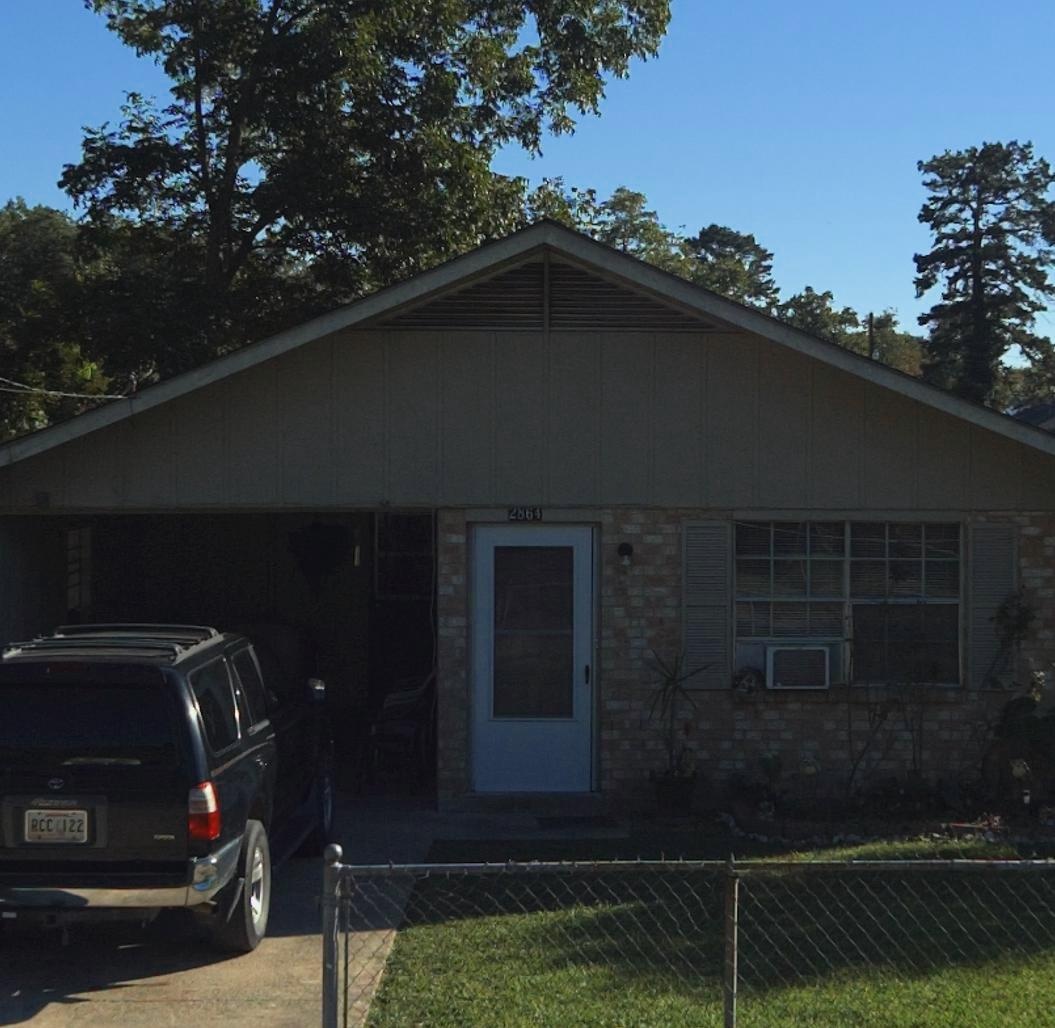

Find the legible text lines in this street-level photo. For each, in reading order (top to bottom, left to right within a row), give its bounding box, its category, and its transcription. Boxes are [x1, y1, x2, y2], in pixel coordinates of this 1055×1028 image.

[507, 506, 542, 521] StreetNumber: 2864
[29, 817, 85, 834] None: *CC 122